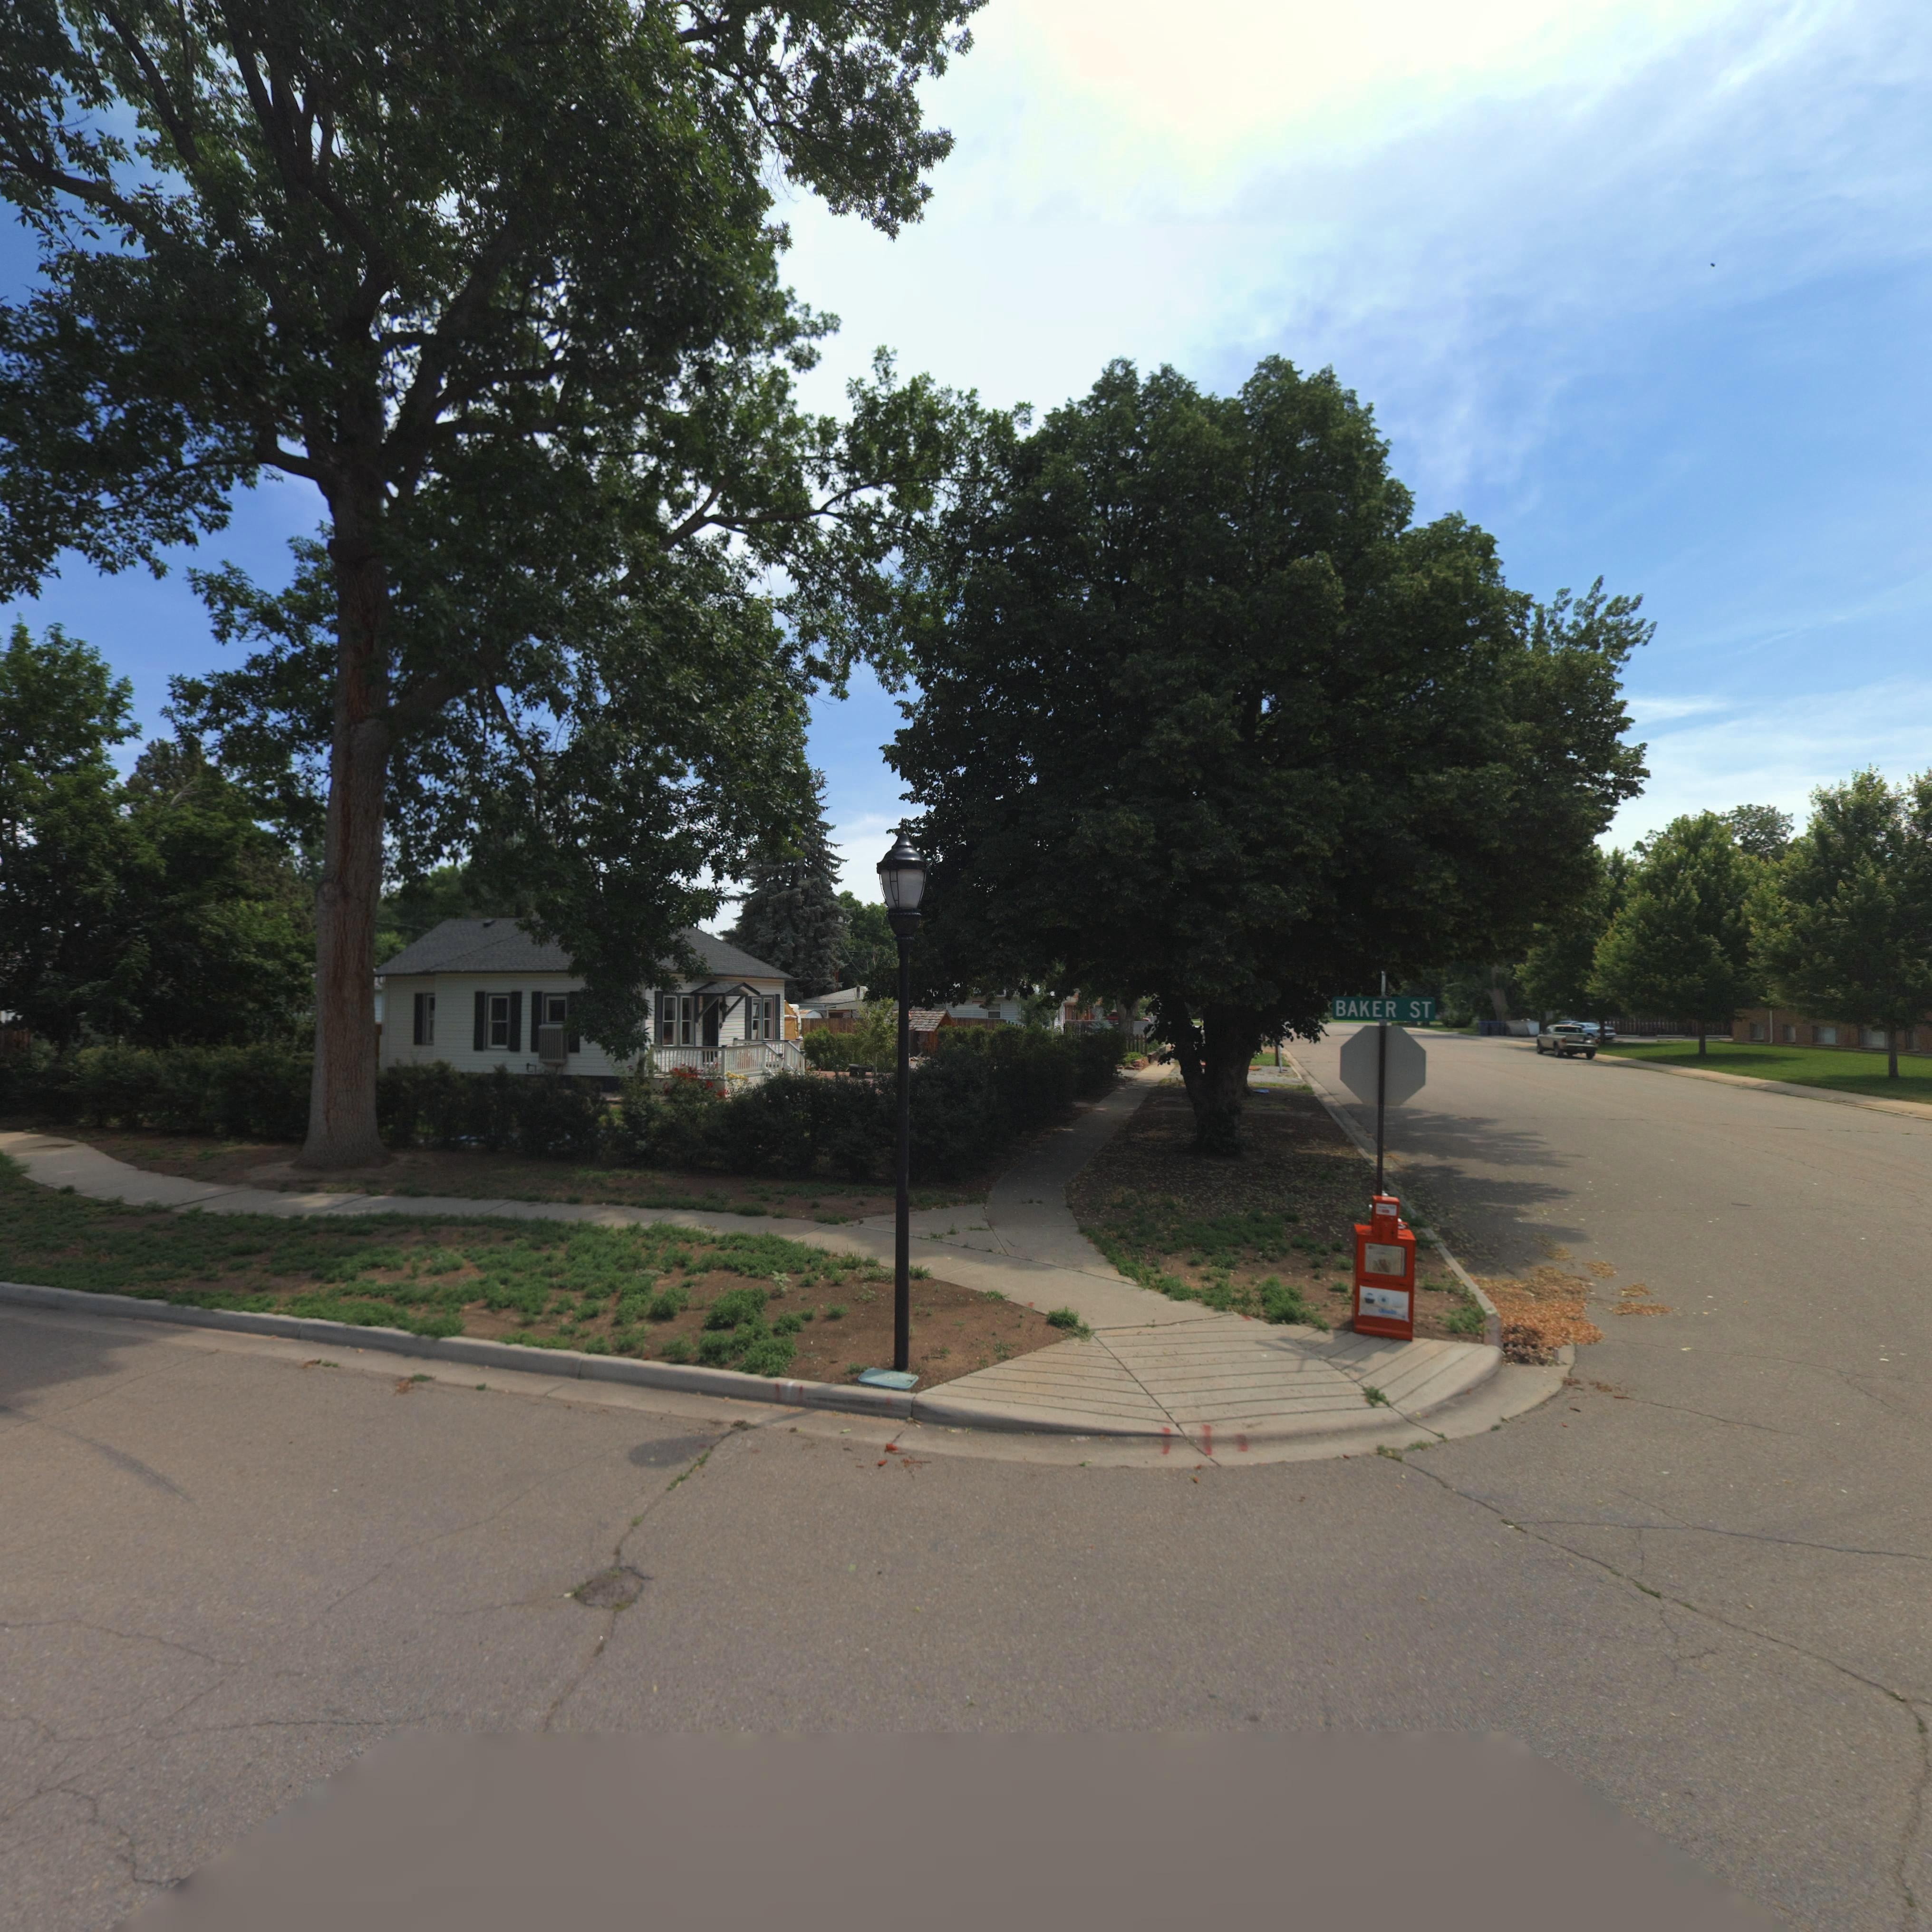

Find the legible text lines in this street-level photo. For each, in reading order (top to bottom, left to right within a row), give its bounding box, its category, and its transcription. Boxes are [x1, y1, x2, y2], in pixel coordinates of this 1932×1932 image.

[1335, 1000, 1432, 1018] StreetName: BAKER ST